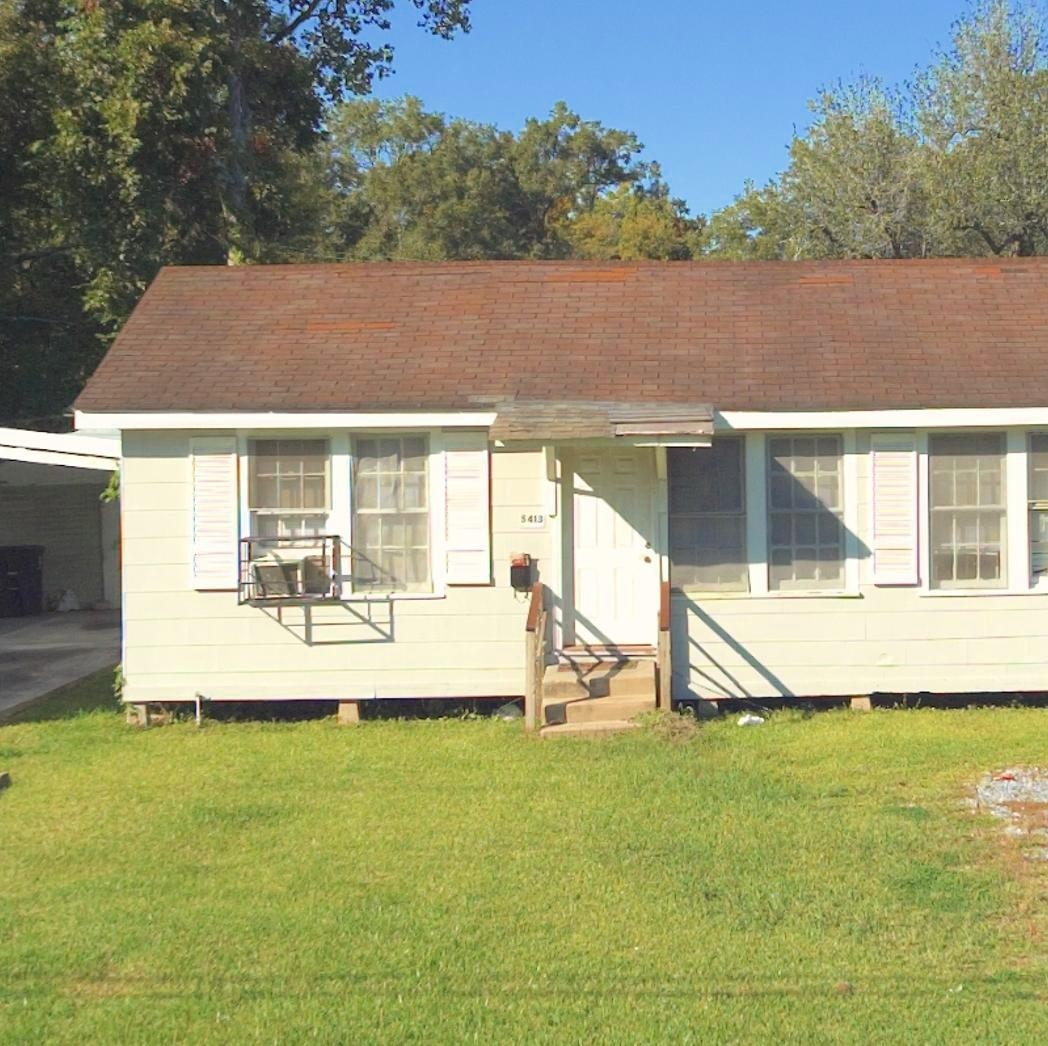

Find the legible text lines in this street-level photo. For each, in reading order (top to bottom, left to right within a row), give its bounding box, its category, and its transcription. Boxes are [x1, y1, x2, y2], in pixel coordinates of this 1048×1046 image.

[520, 513, 545, 524] StreetNumber: 5413